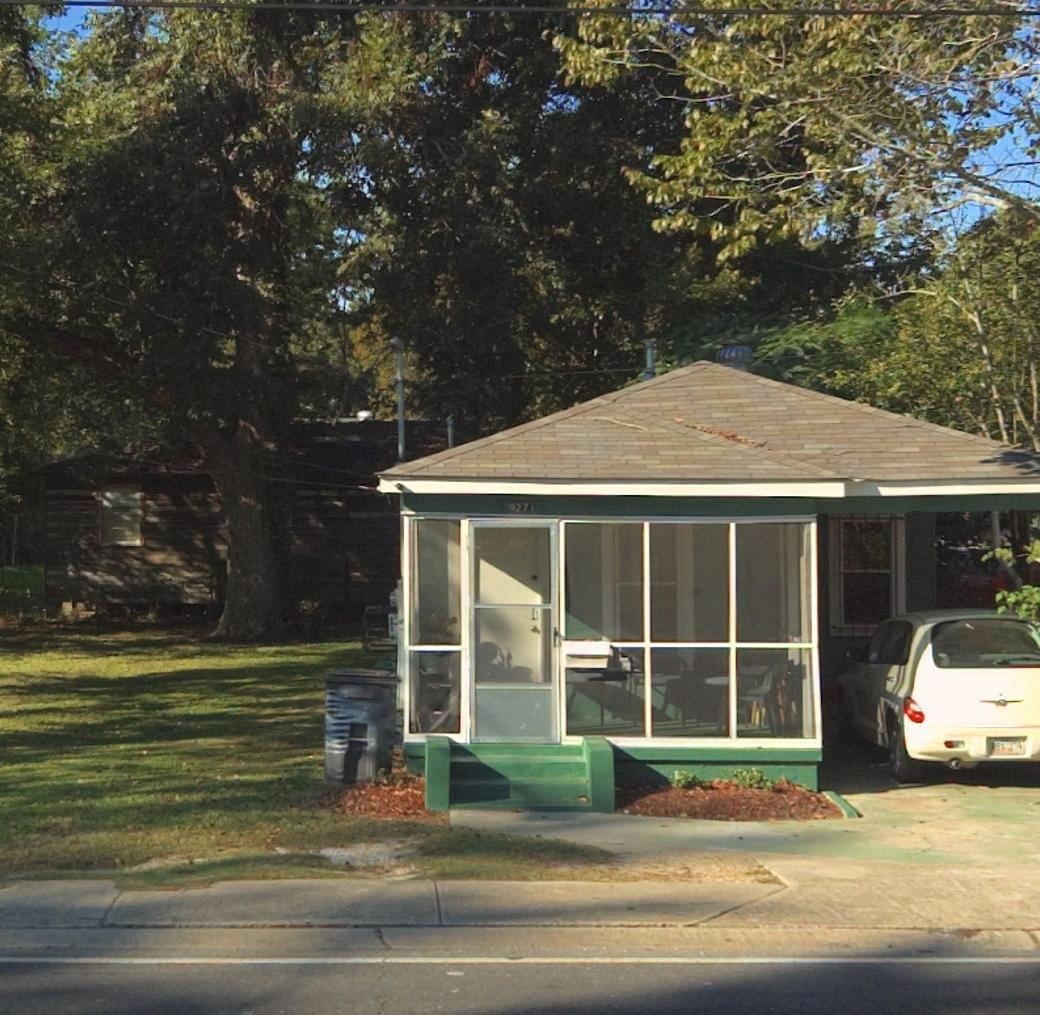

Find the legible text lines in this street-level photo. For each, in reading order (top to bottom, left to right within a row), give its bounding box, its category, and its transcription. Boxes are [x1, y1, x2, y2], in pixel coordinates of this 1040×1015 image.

[507, 500, 537, 515] StreetNumber: 9271